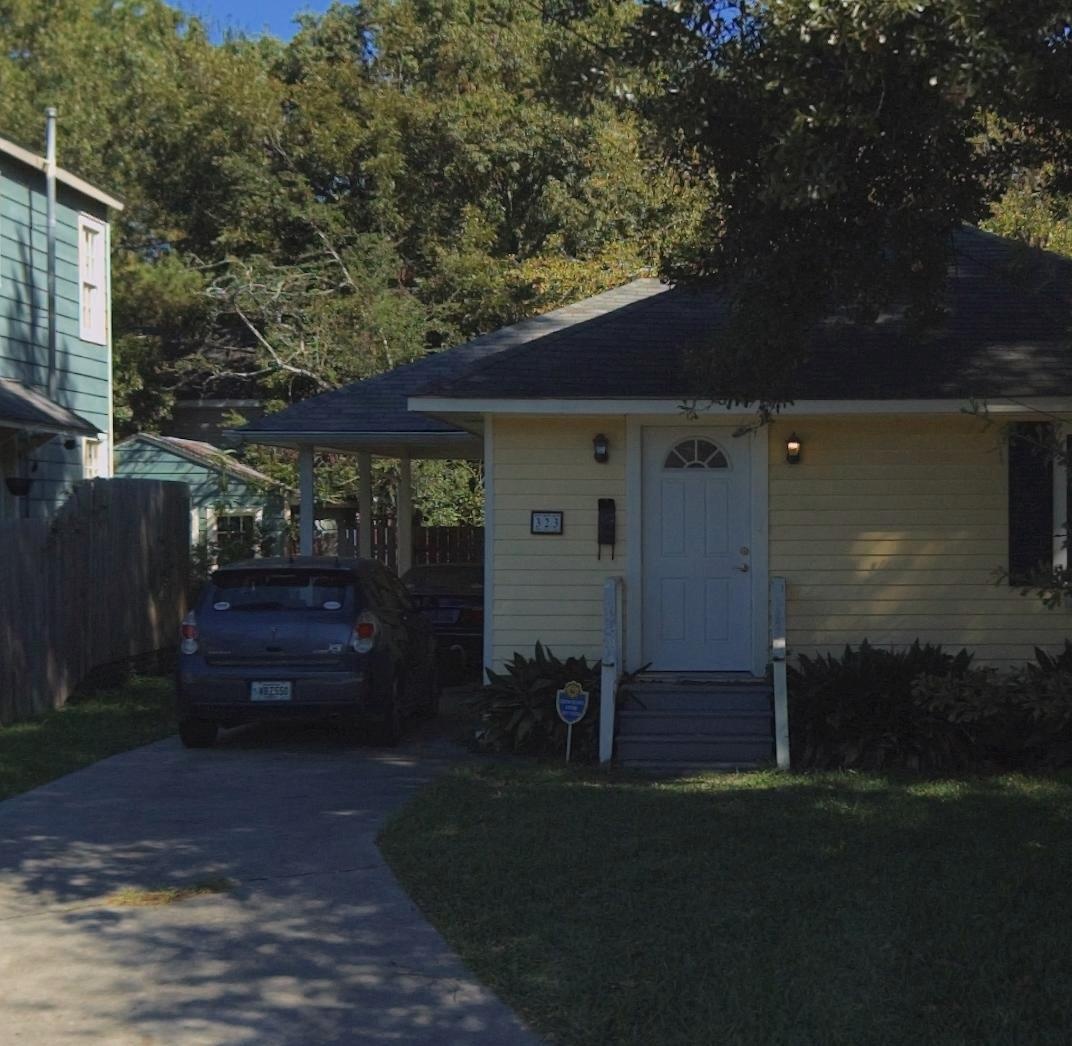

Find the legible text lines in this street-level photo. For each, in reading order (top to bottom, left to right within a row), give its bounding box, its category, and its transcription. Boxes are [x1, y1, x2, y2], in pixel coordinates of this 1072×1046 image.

[534, 516, 560, 530] StreetNumber: 323
[268, 685, 289, 697] None: Z550